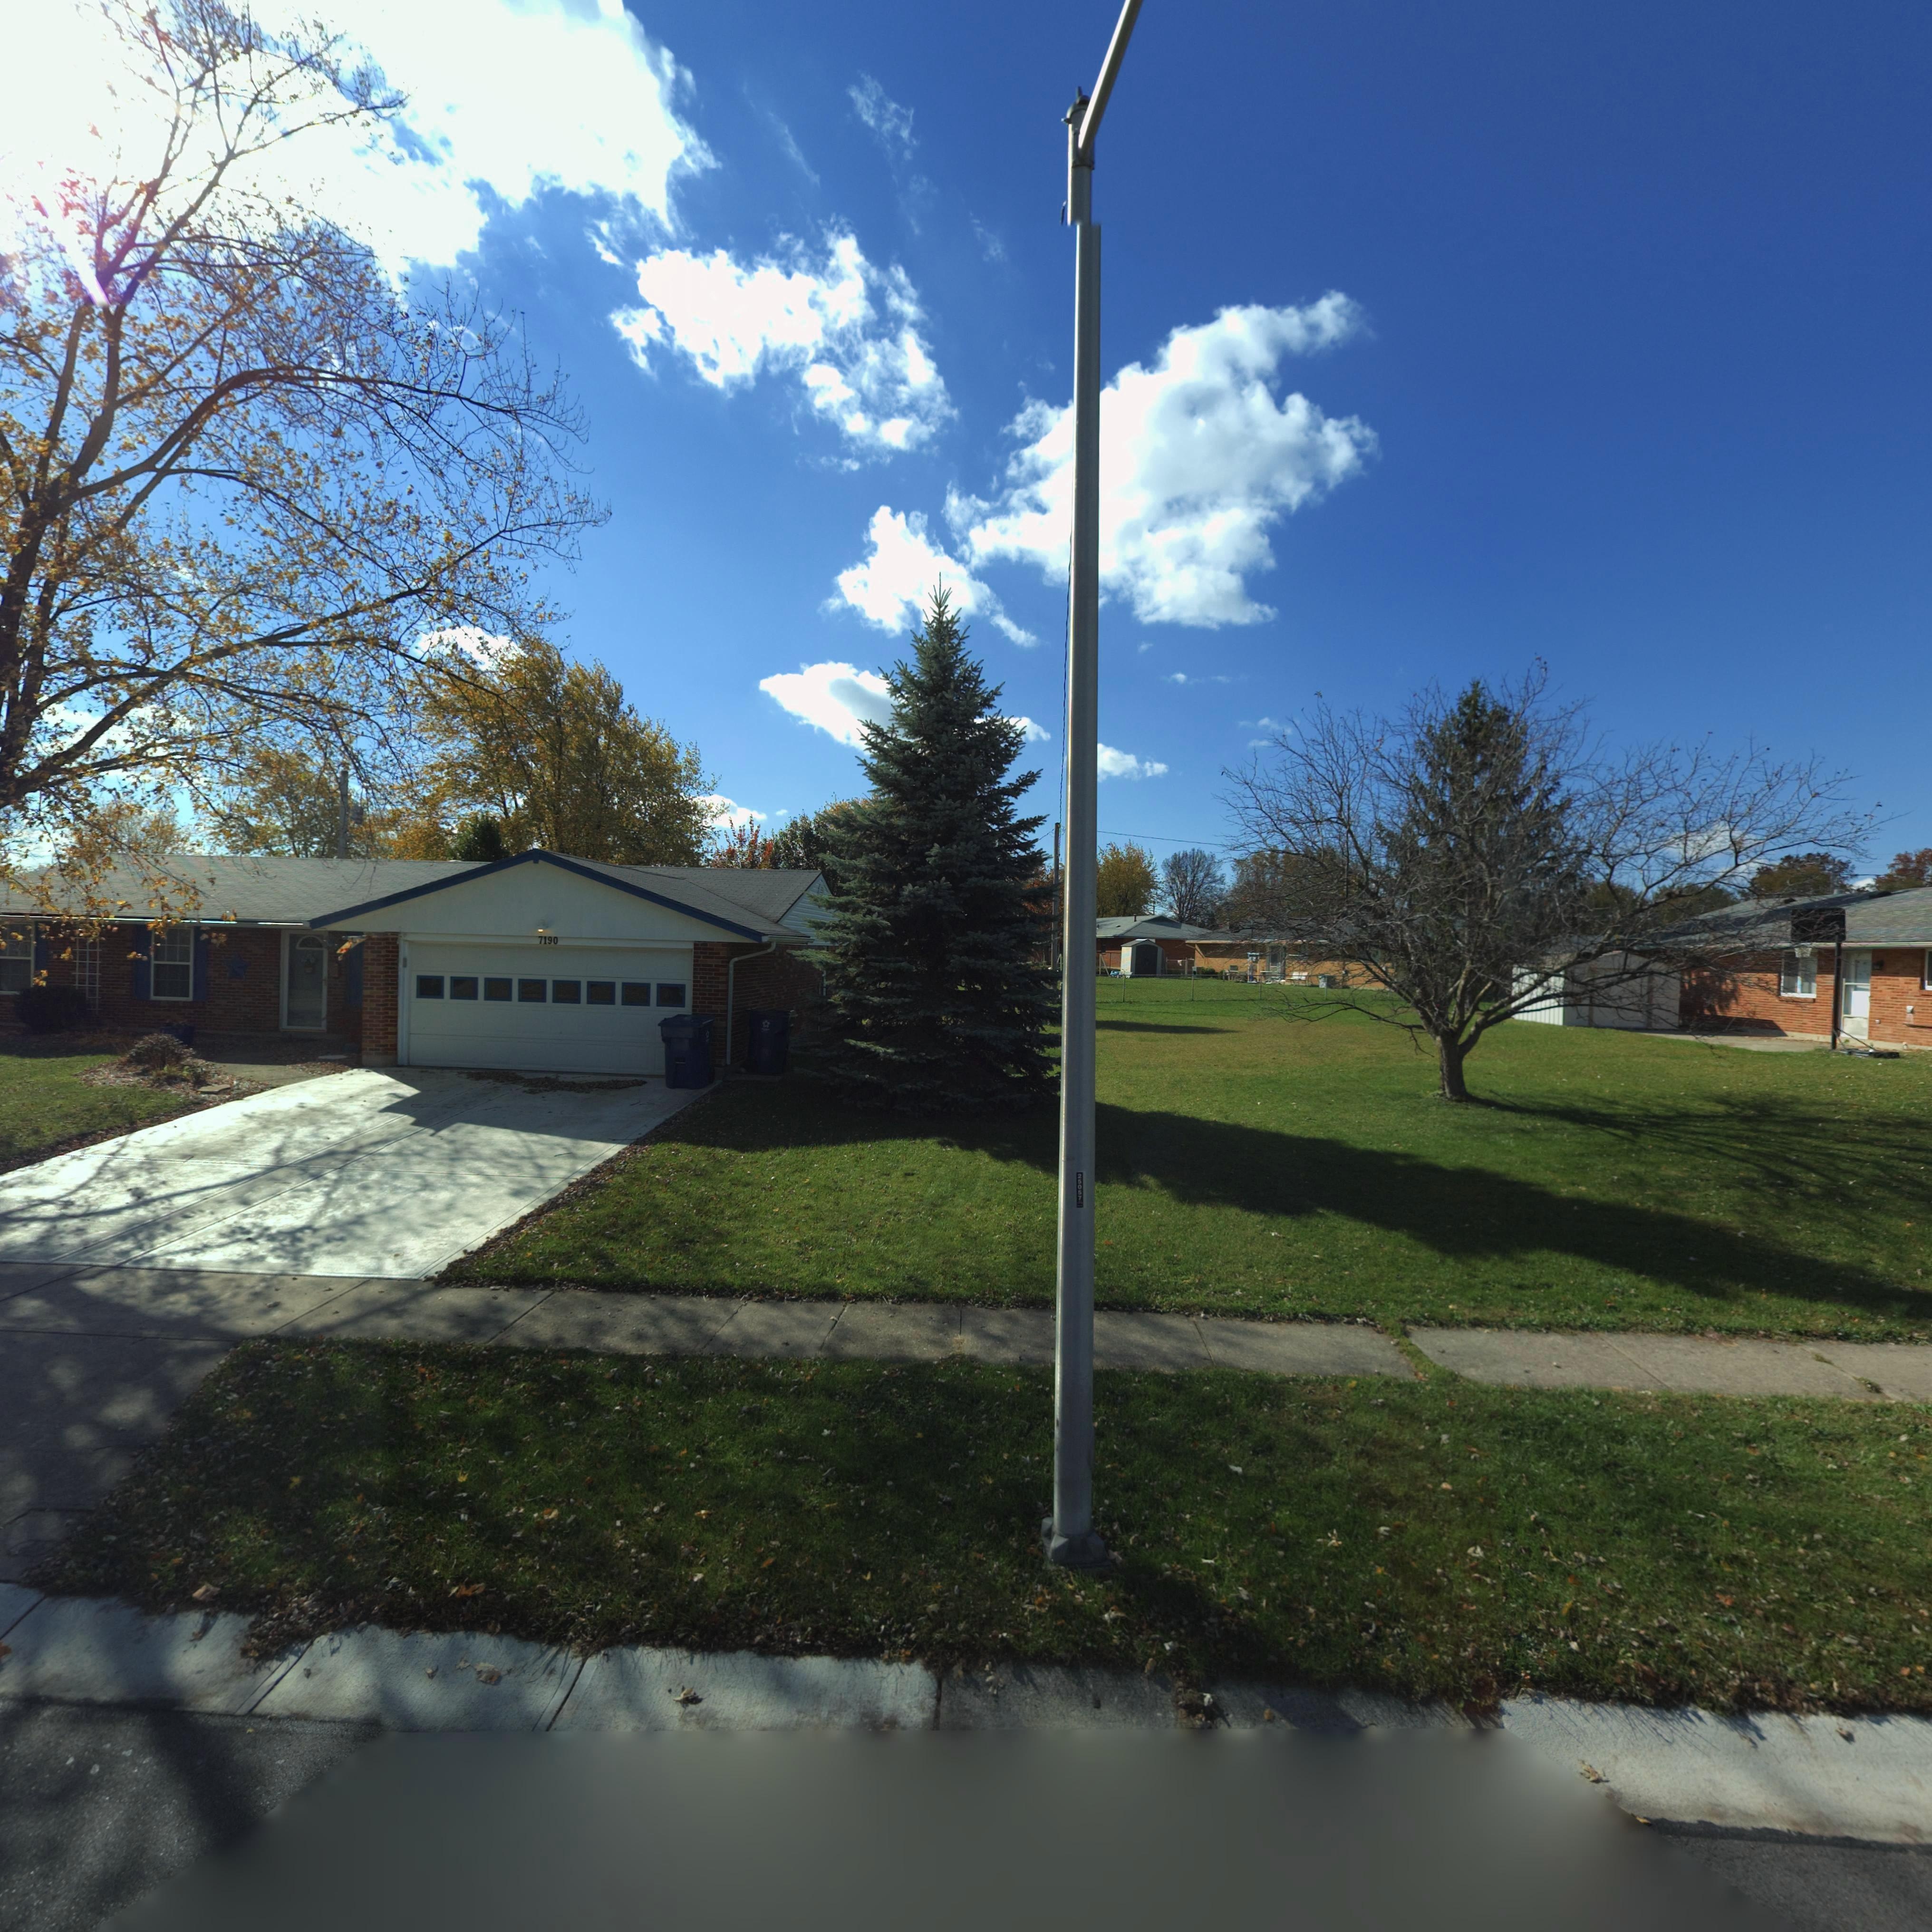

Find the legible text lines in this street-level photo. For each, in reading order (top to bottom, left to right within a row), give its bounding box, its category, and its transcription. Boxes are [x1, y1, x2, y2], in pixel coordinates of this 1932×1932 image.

[537, 935, 560, 946] StreetNumber: 7190